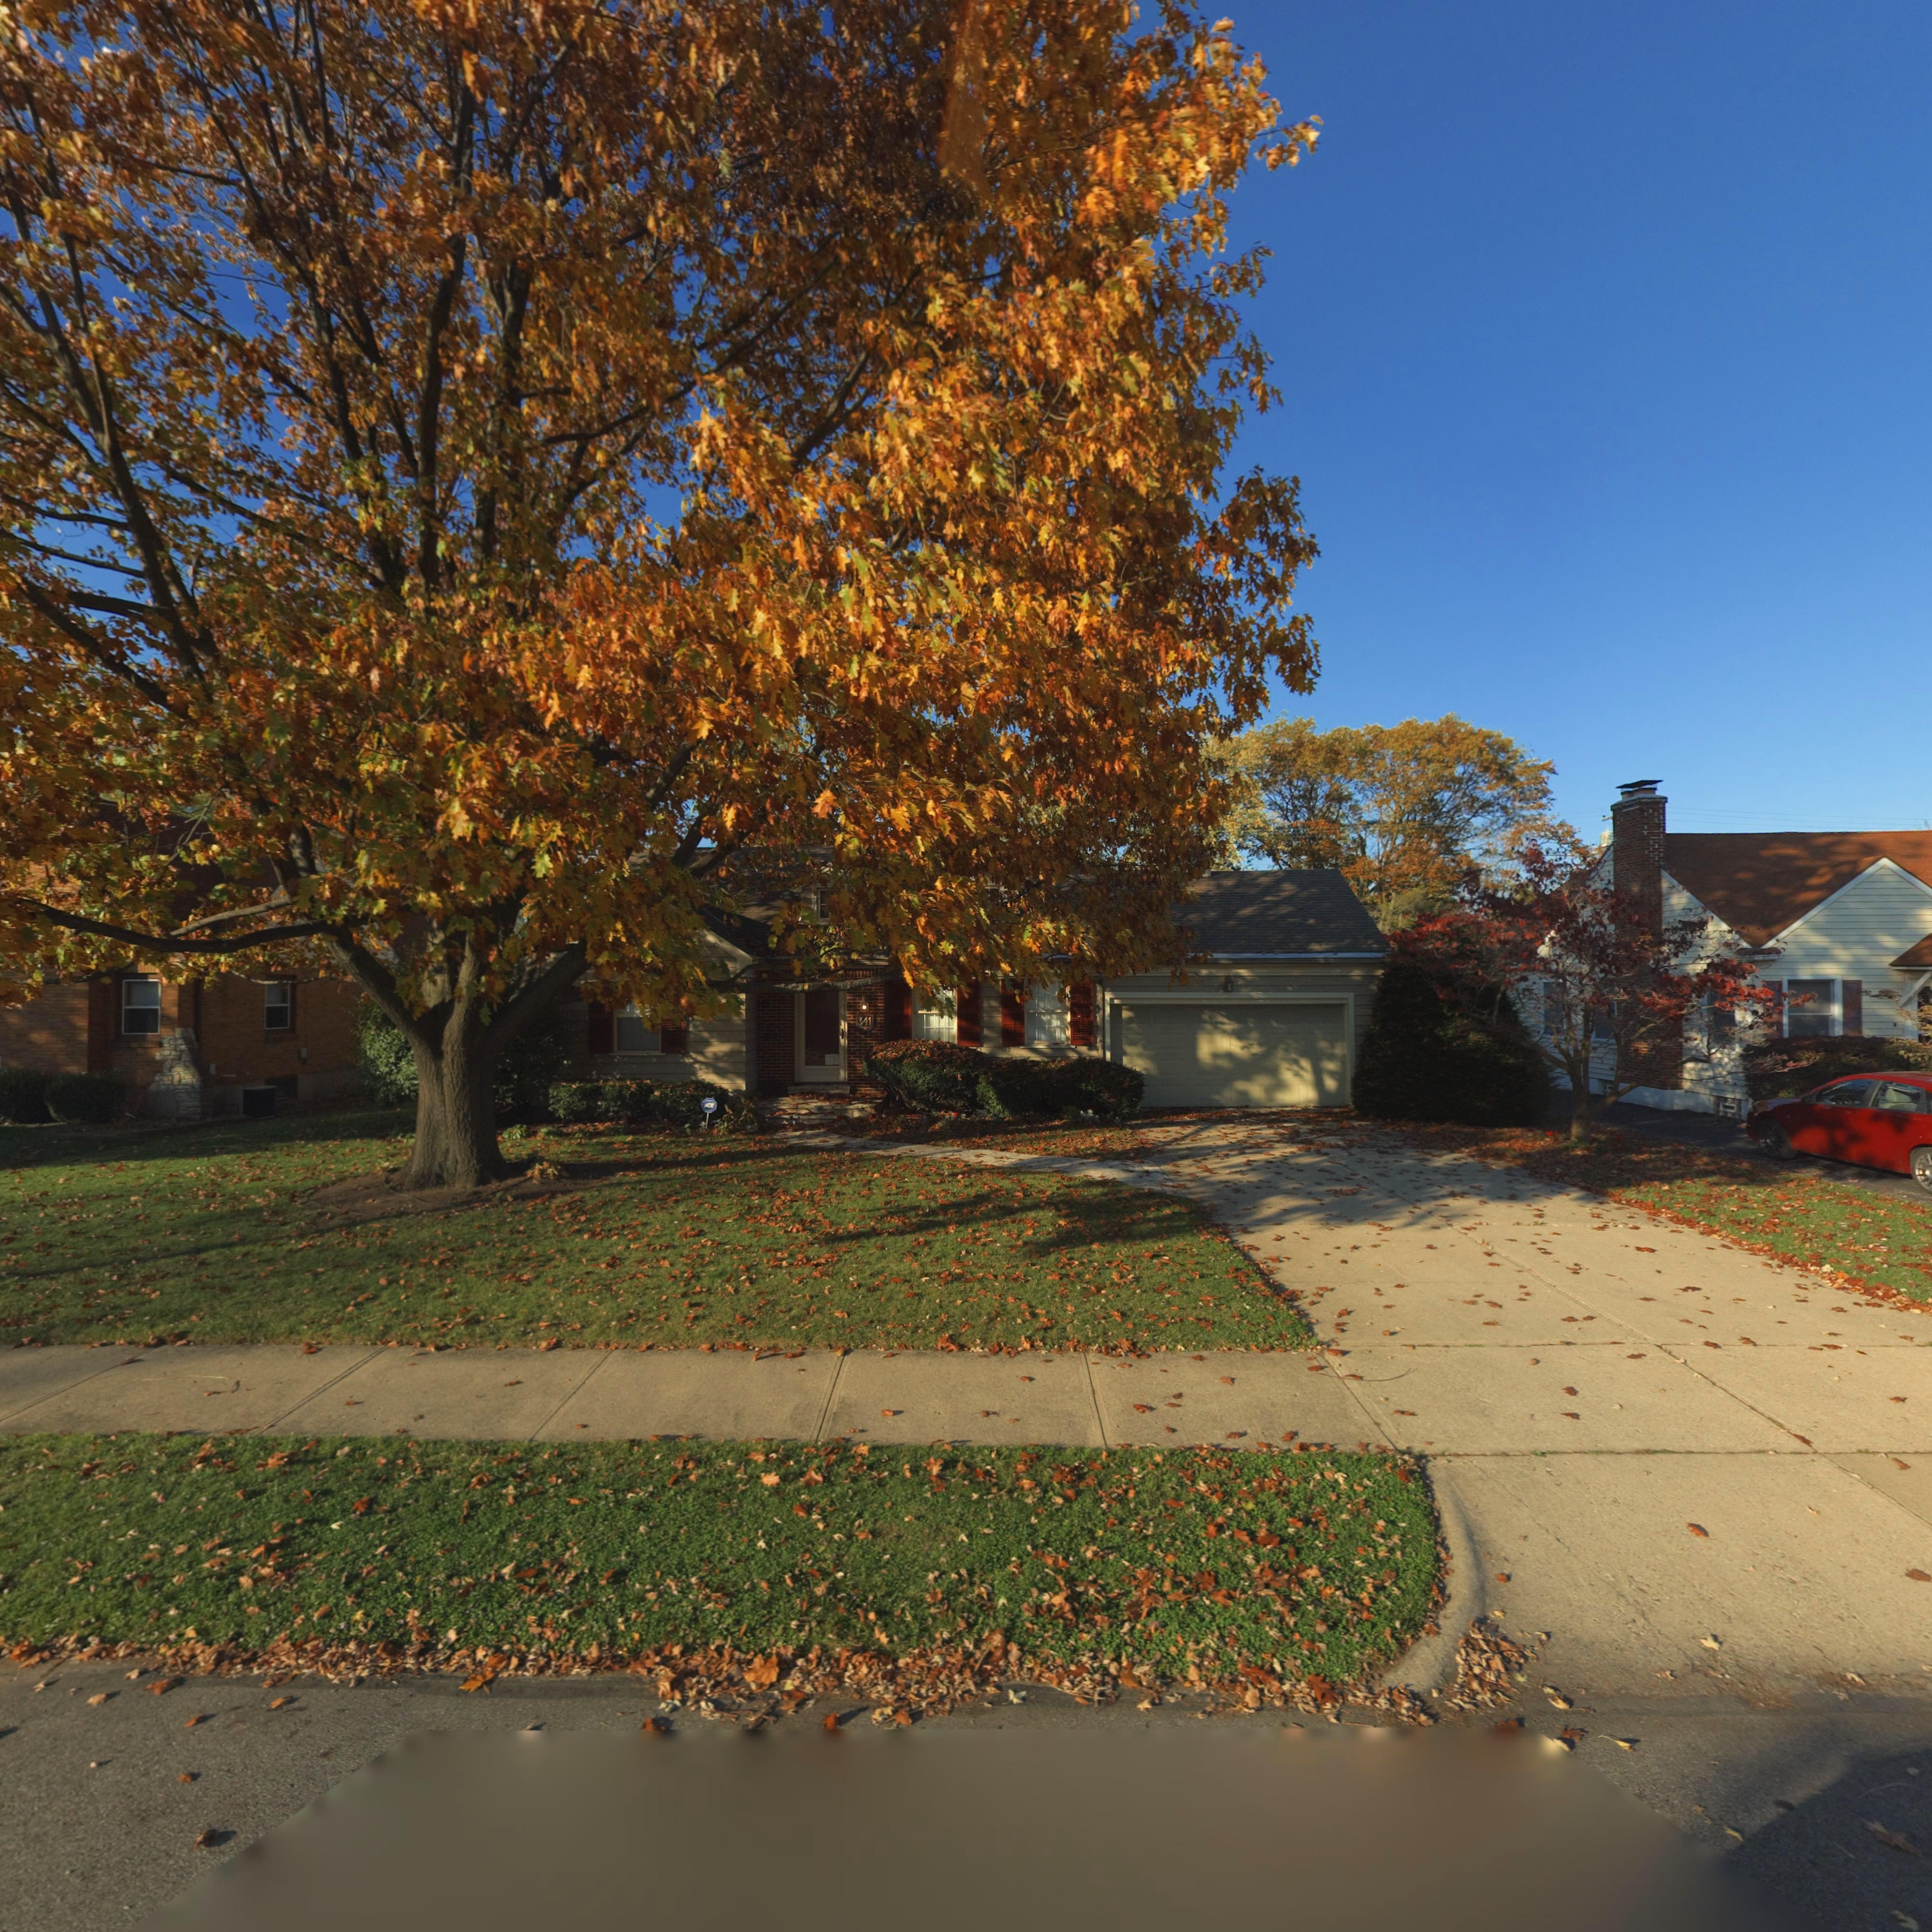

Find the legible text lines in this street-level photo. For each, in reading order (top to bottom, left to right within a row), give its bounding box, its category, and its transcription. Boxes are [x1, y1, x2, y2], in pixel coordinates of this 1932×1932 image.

[857, 1015, 873, 1027] StreetNumber: 341